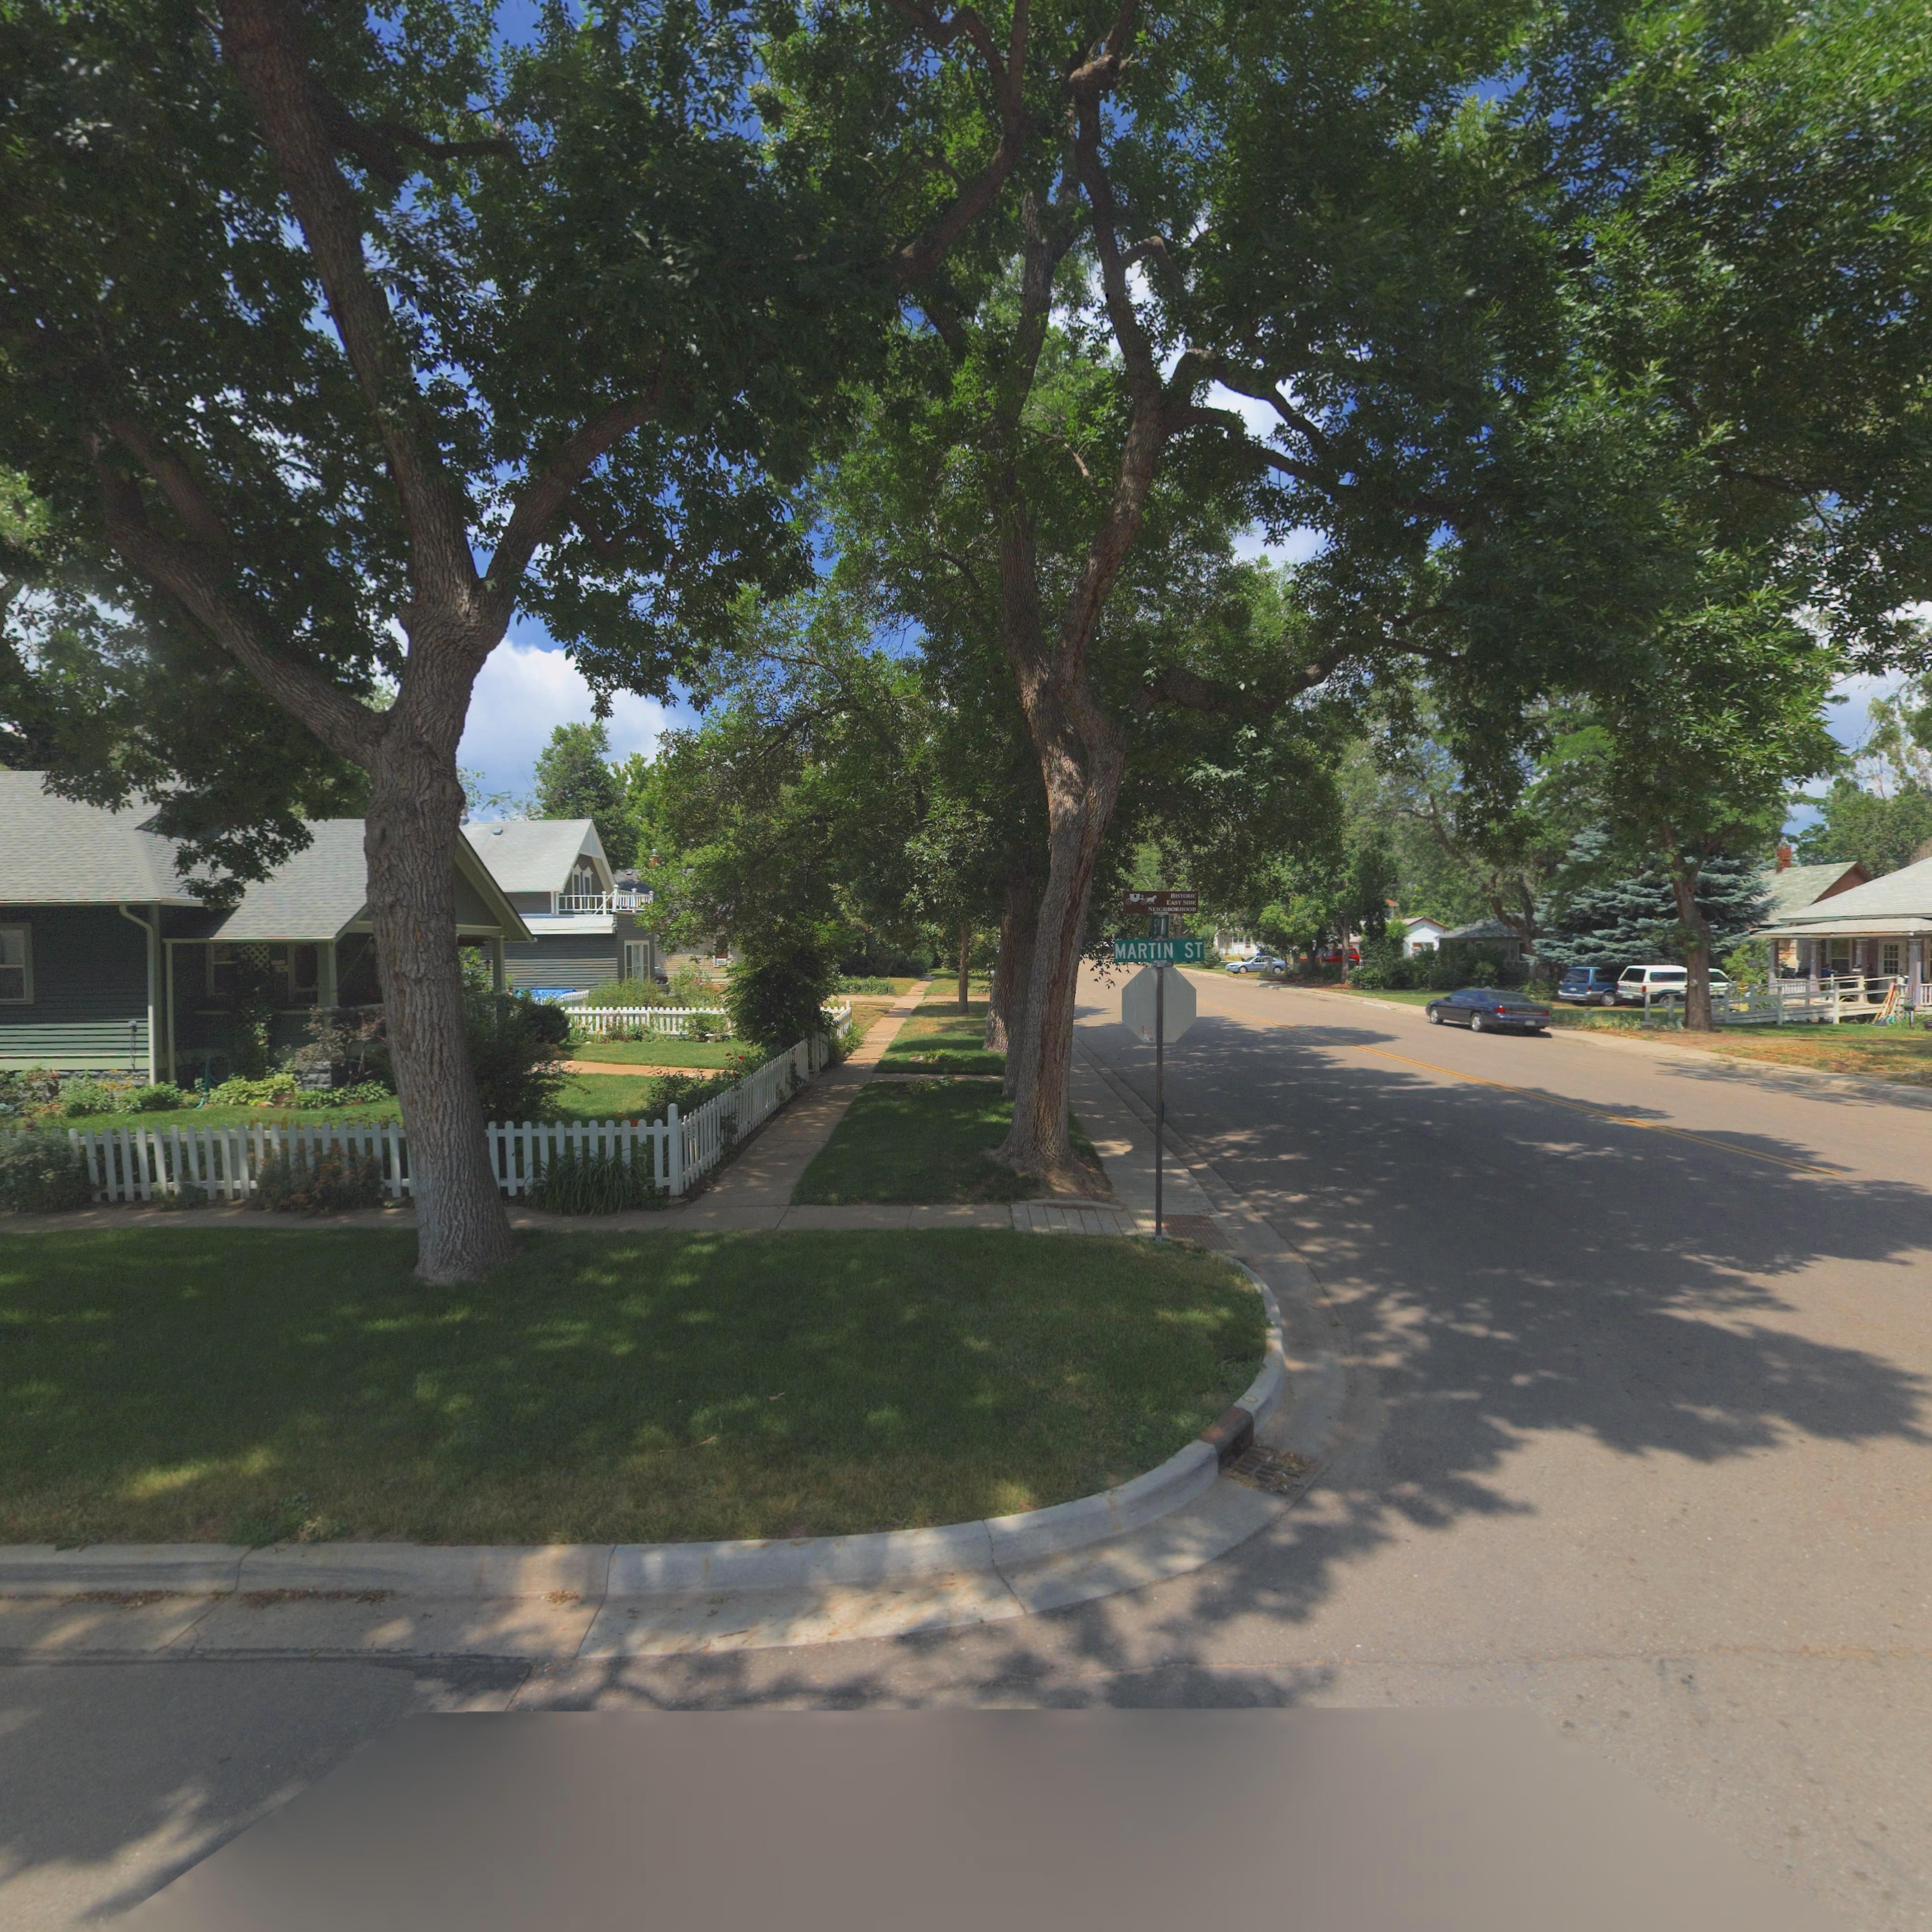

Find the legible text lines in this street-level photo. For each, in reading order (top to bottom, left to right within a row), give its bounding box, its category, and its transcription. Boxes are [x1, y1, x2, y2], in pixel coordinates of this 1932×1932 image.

[1153, 918, 1167, 934] StreetName: 5T* AV
[1114, 941, 1203, 959] StreetName: MARTIN ST